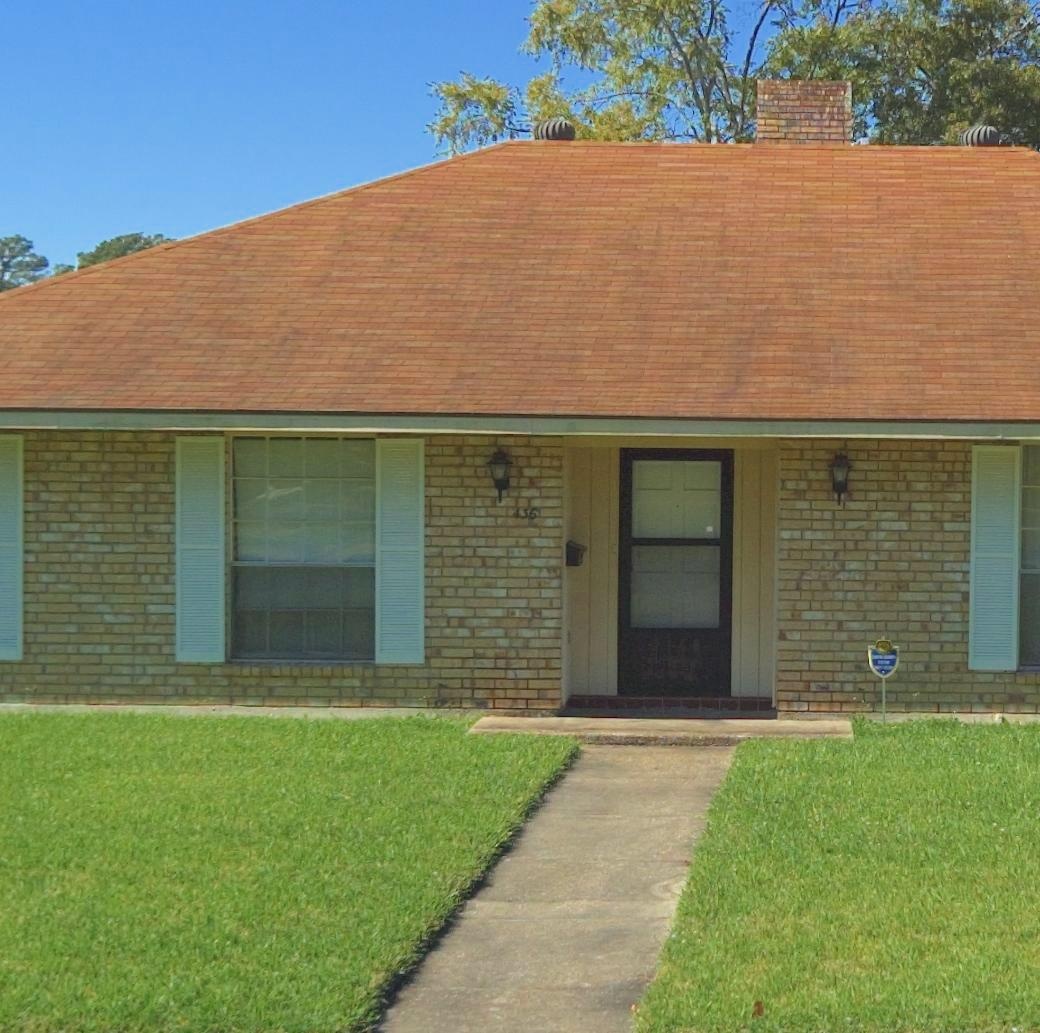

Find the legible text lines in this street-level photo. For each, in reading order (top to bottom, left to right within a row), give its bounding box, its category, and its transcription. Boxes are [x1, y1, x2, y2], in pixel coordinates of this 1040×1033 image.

[511, 506, 539, 521] StreetNumber: 436